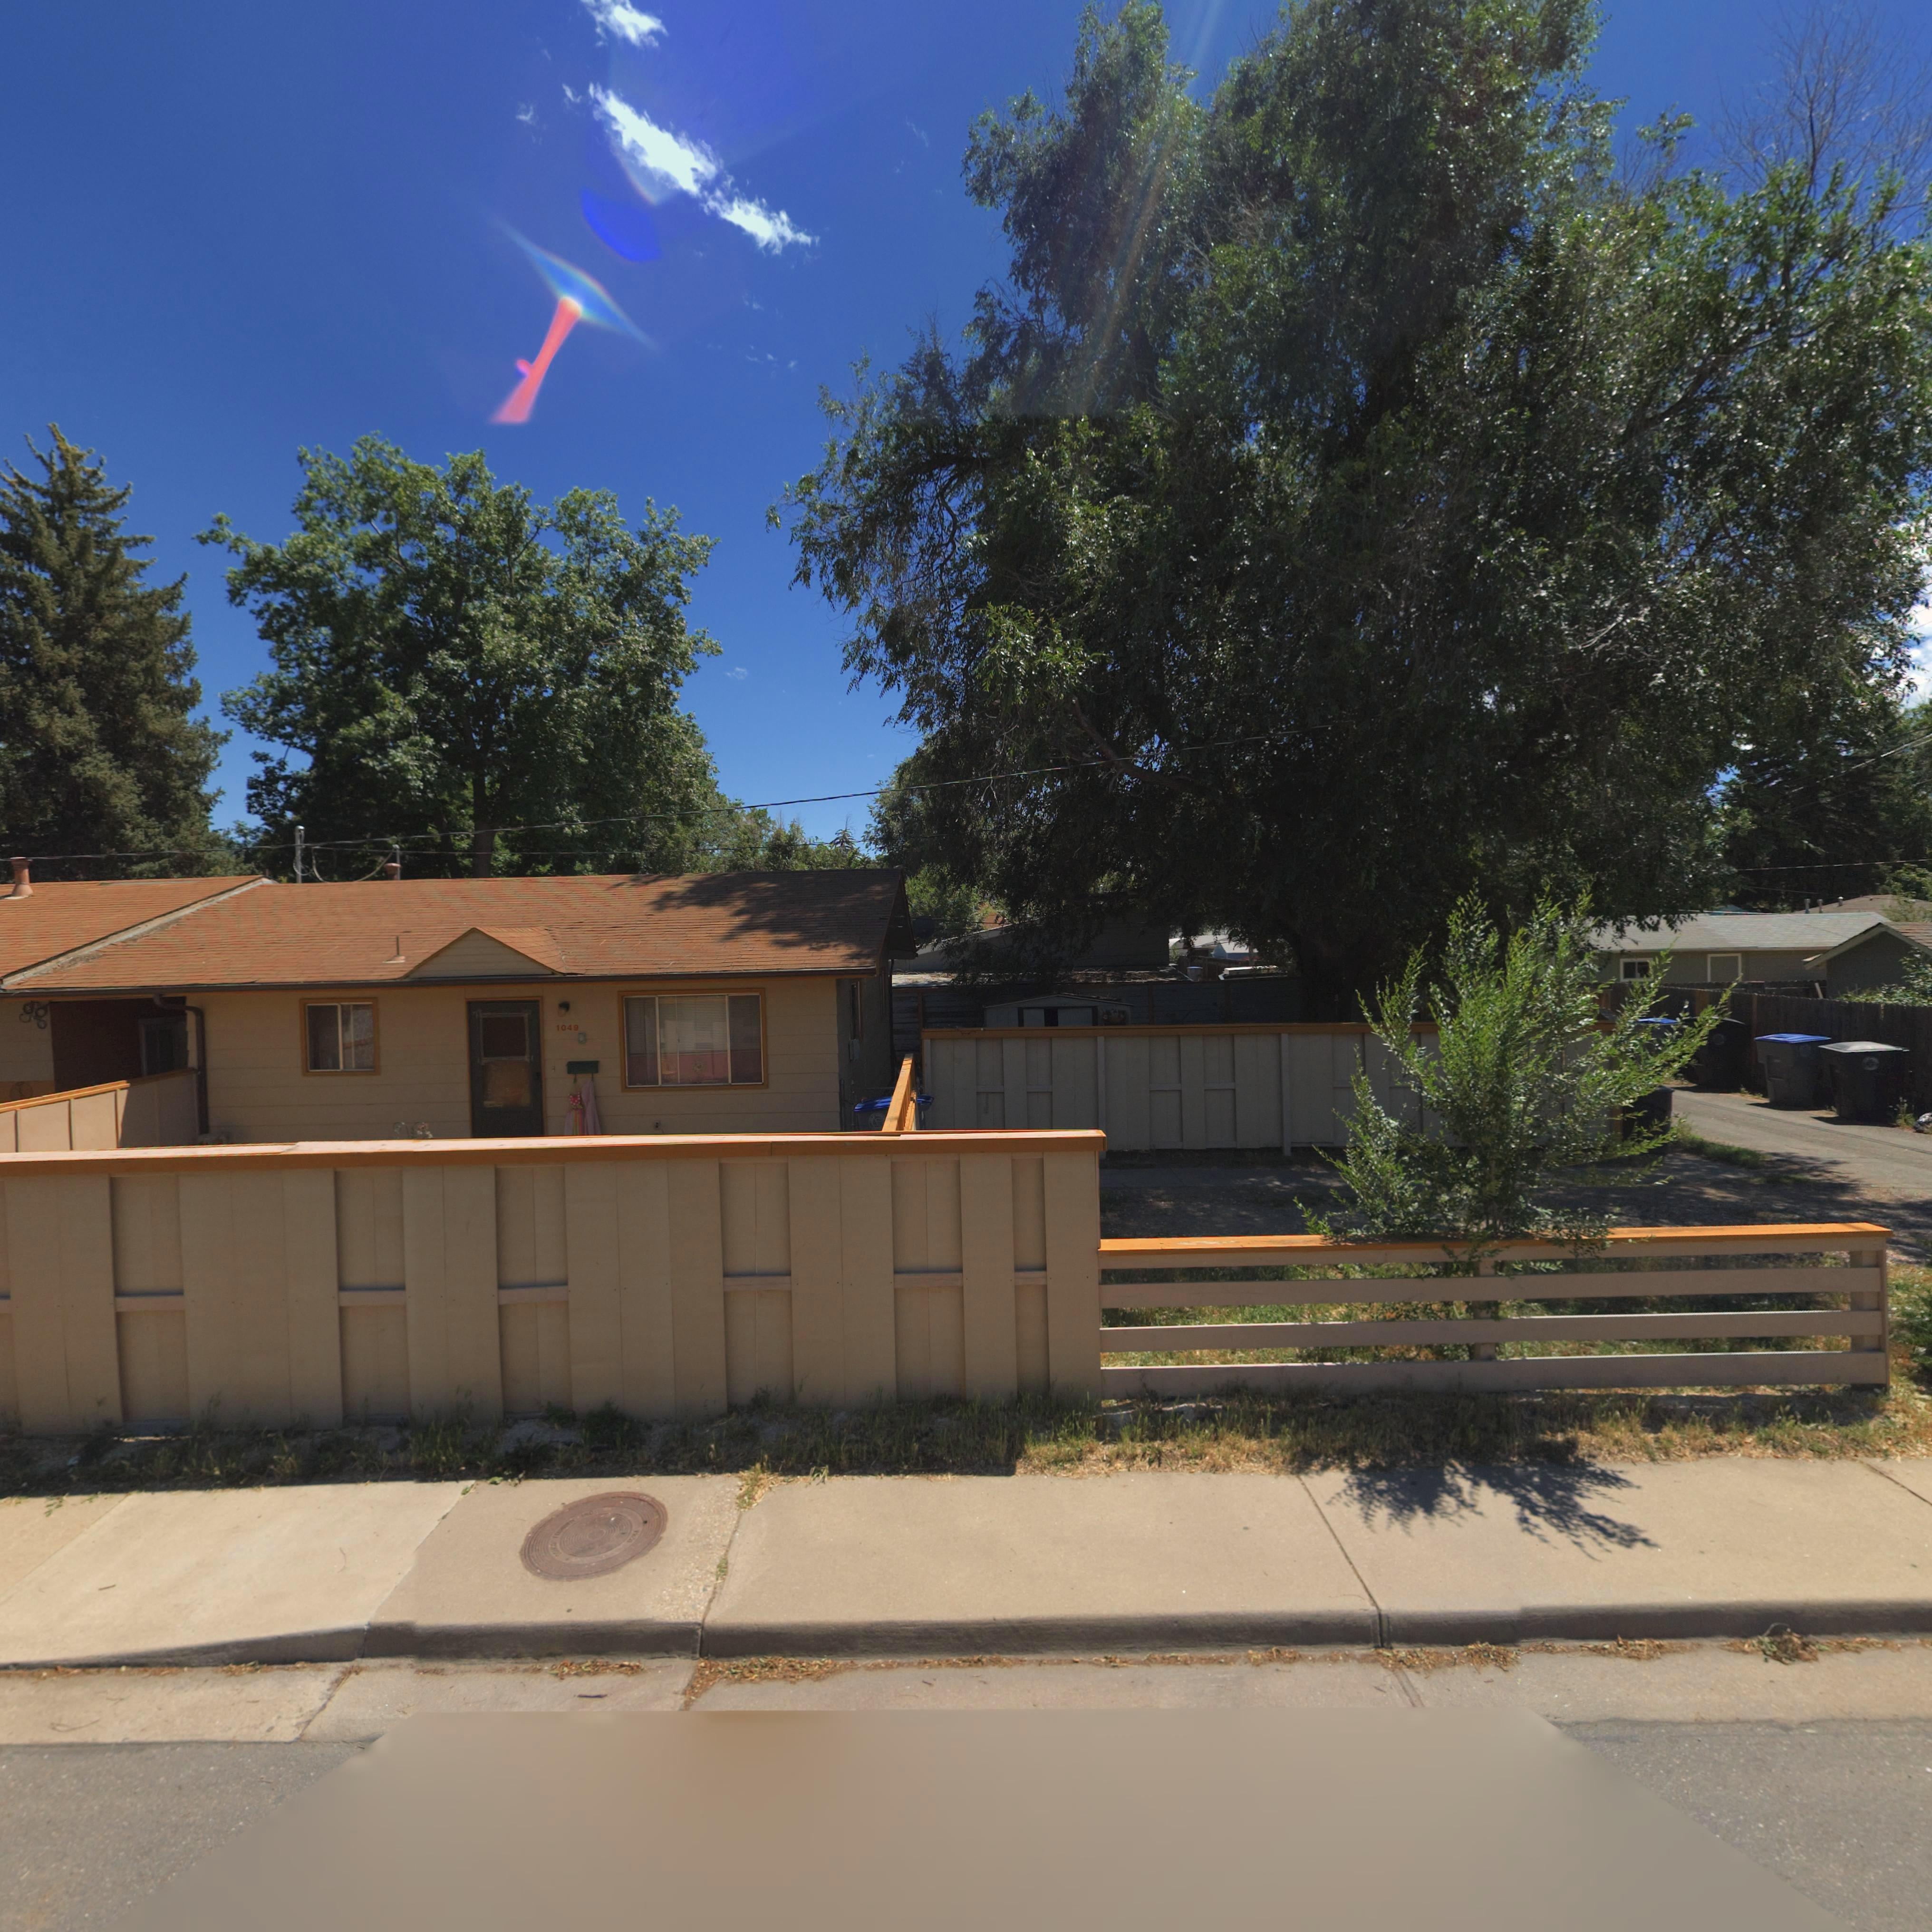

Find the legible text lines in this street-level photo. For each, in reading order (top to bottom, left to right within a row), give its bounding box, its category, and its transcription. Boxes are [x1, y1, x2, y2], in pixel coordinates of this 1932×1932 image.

[556, 1024, 579, 1032] StreetNumber: 1049